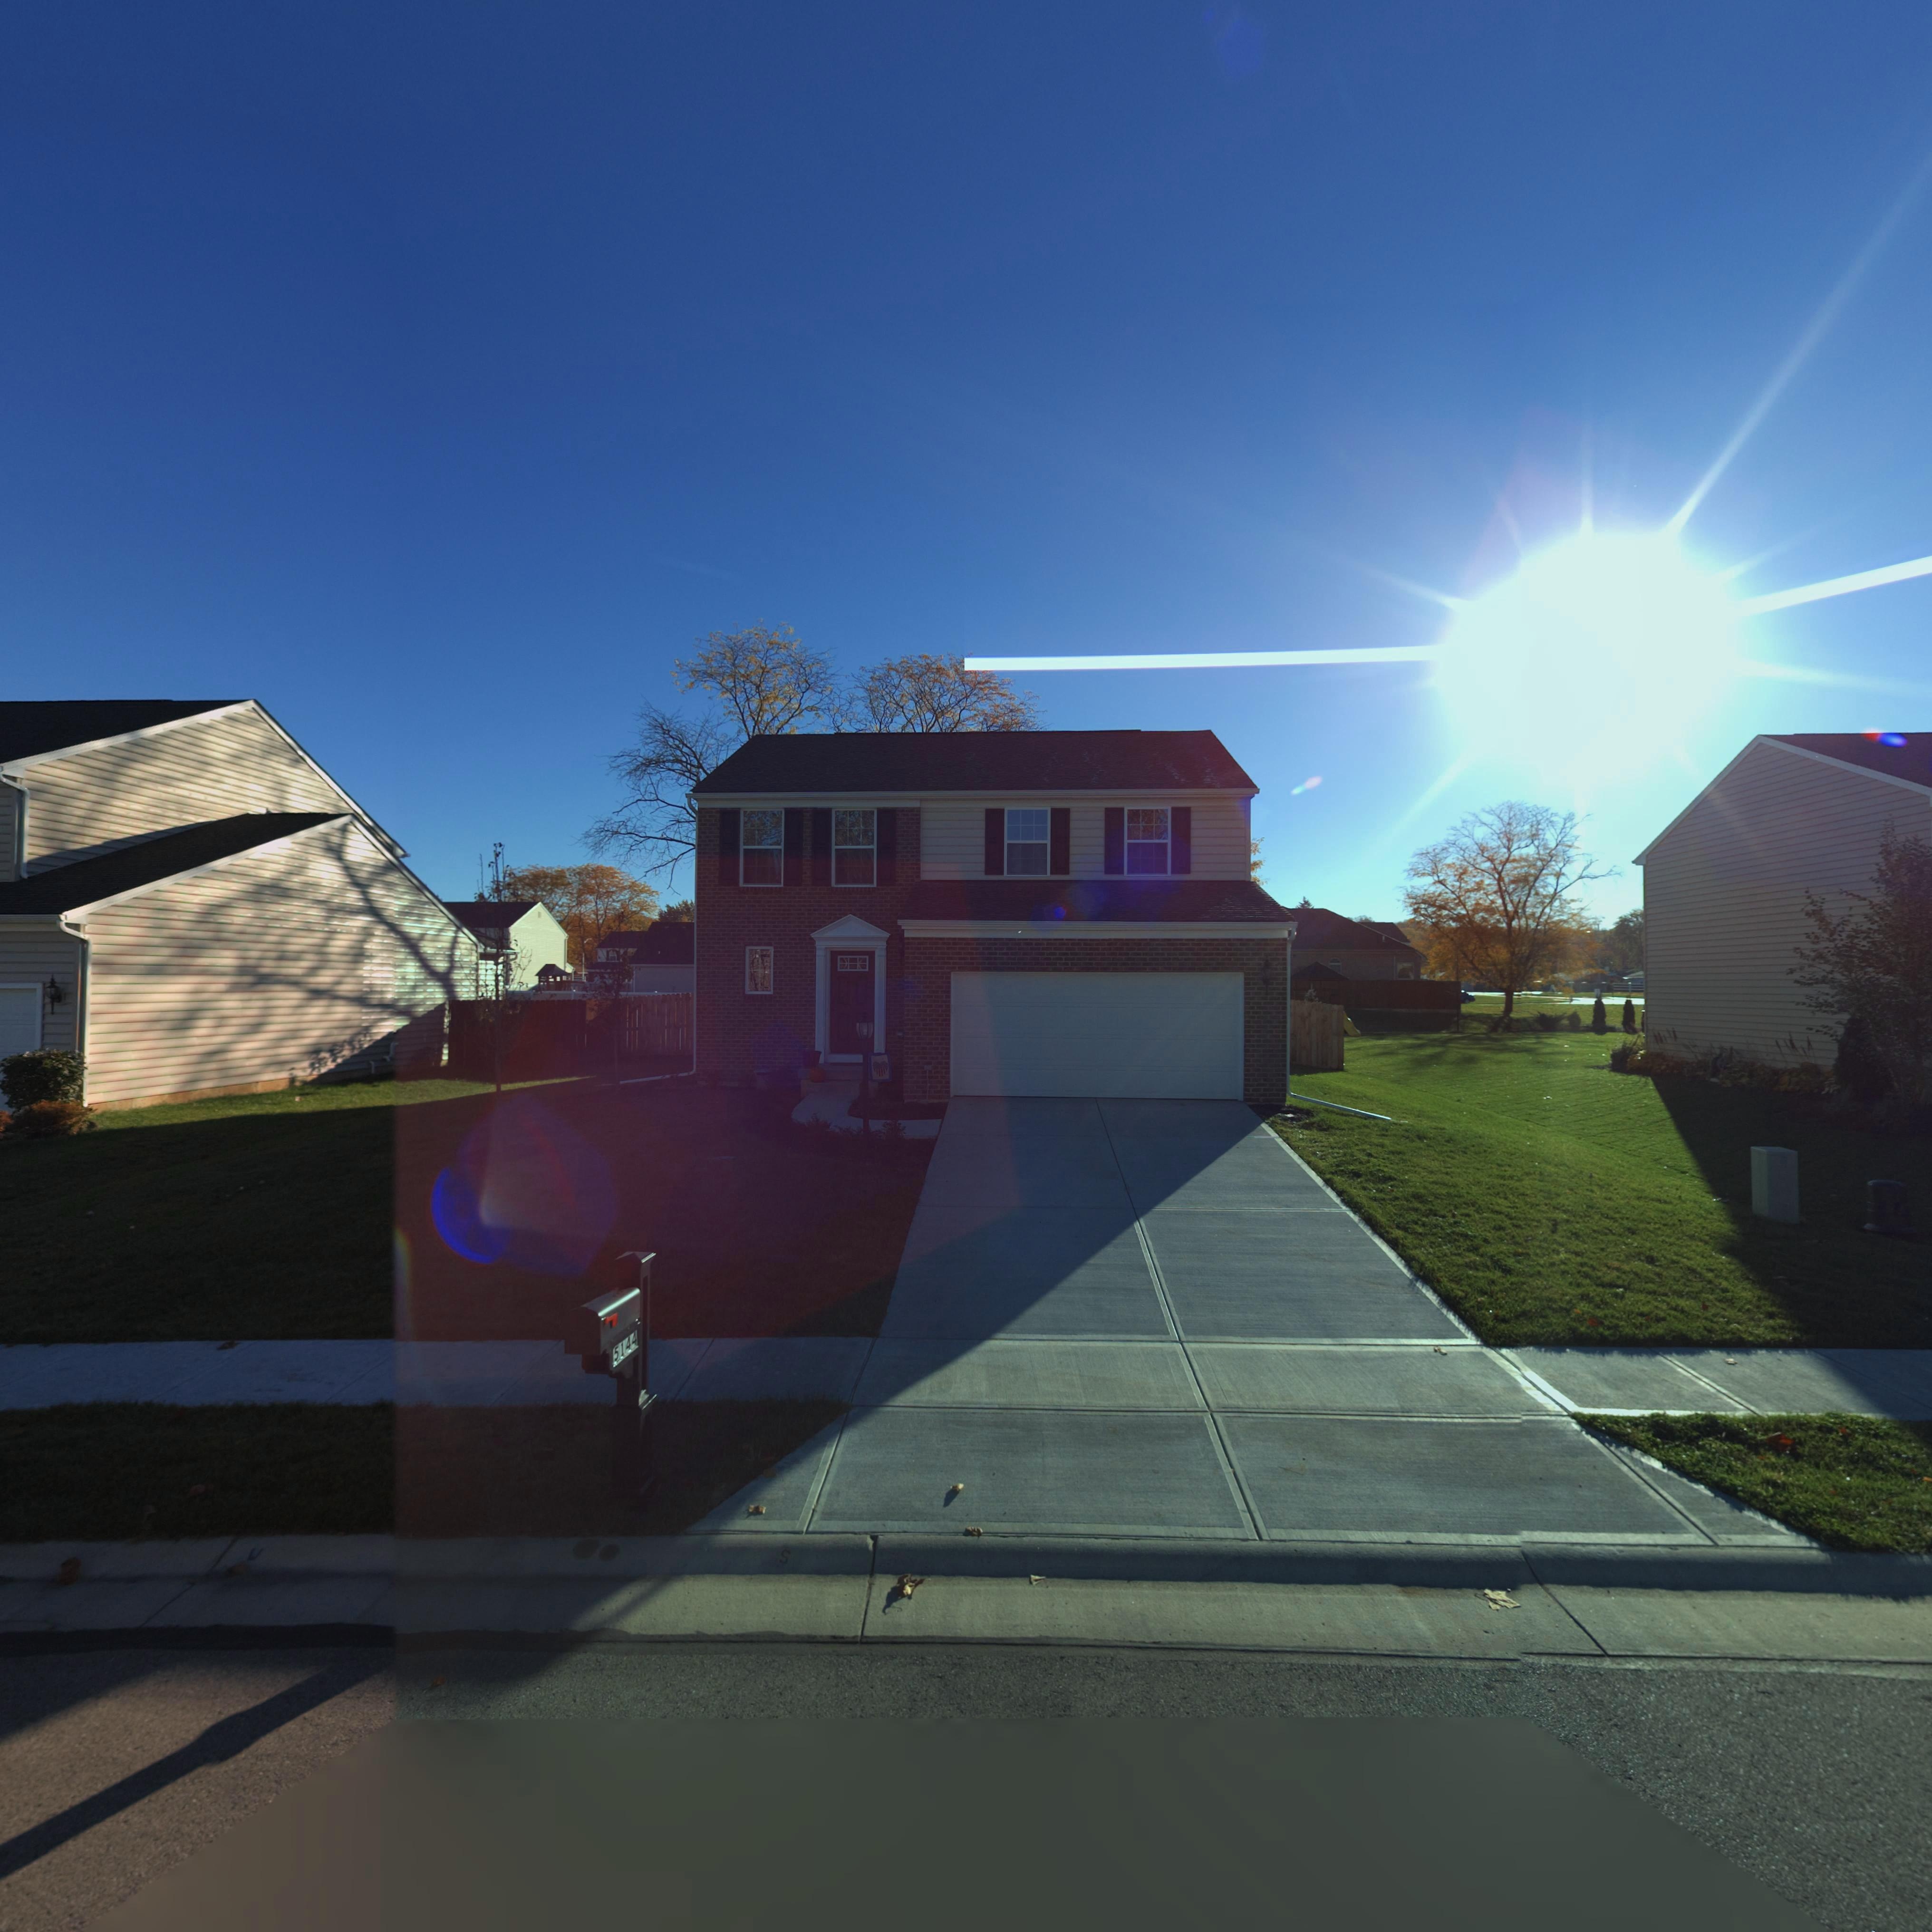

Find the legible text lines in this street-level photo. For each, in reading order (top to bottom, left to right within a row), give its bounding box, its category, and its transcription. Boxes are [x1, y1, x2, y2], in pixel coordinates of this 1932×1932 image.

[613, 1330, 638, 1363] StreetNumber: 5144